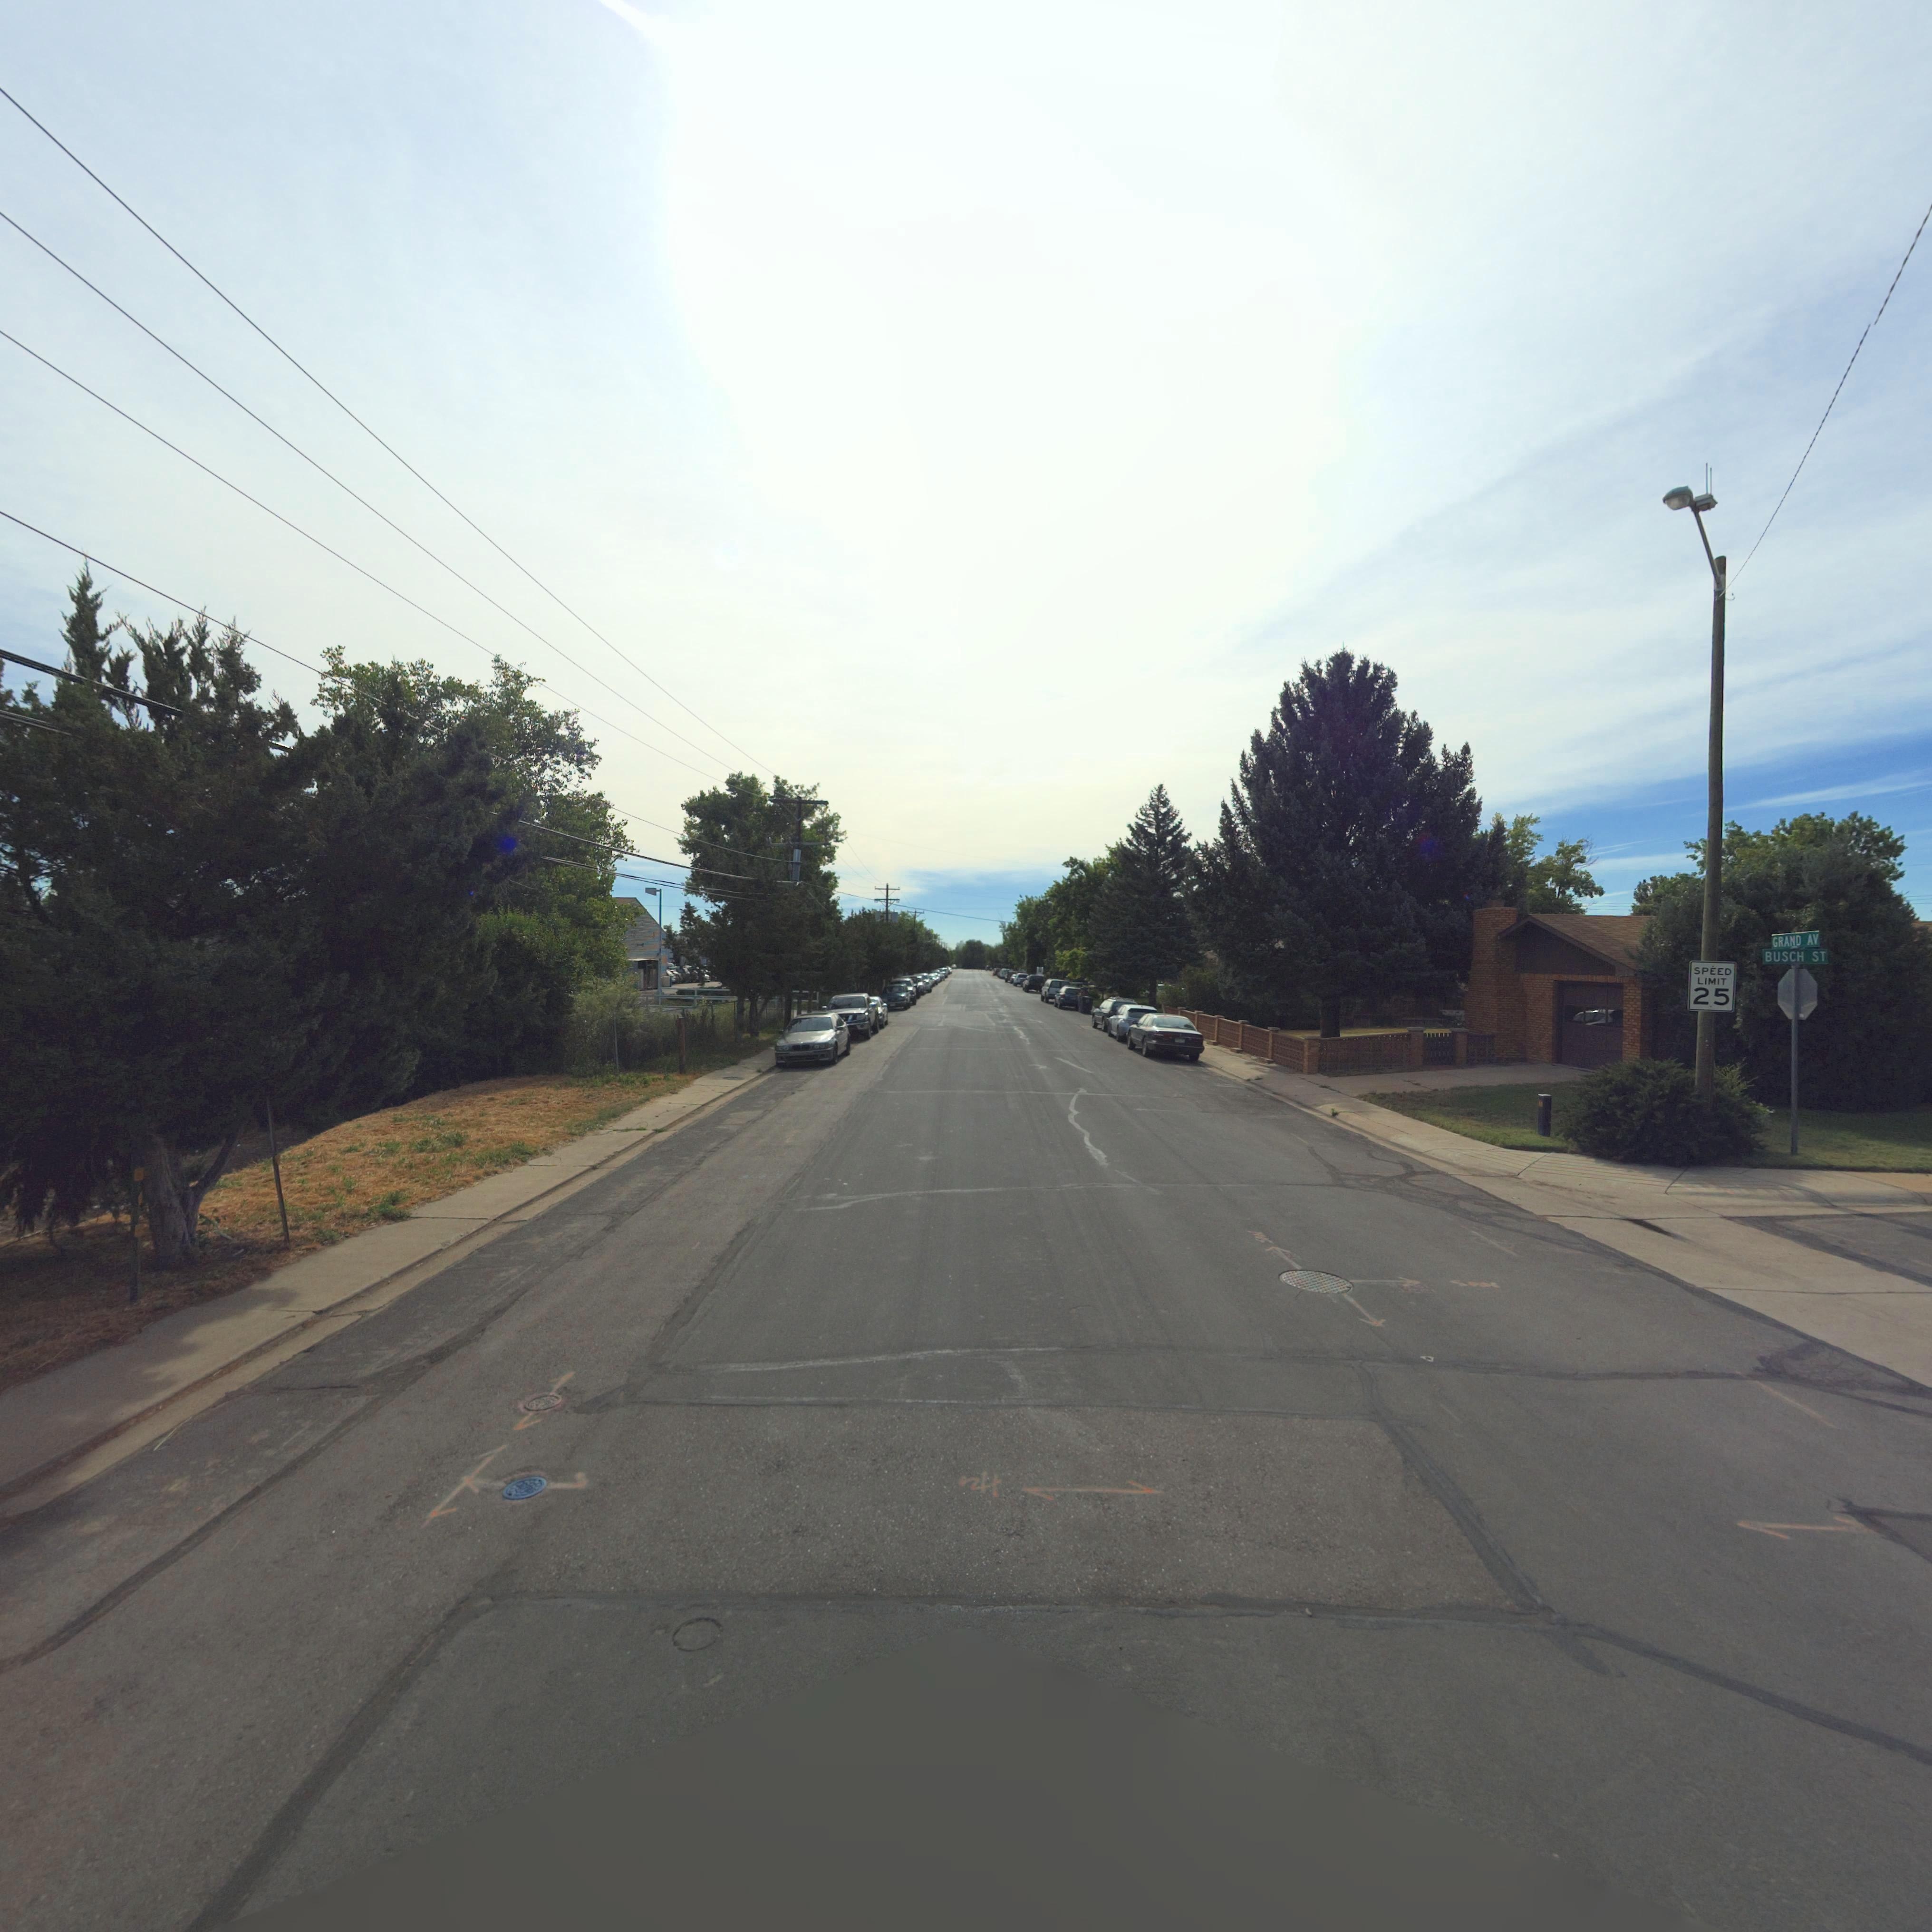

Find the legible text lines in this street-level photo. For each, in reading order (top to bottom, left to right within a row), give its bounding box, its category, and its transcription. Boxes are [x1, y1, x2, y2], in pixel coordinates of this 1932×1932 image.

[1772, 933, 1819, 947] StreetName: GRAND AV
[1765, 951, 1826, 962] StreetName: BUSCH ST